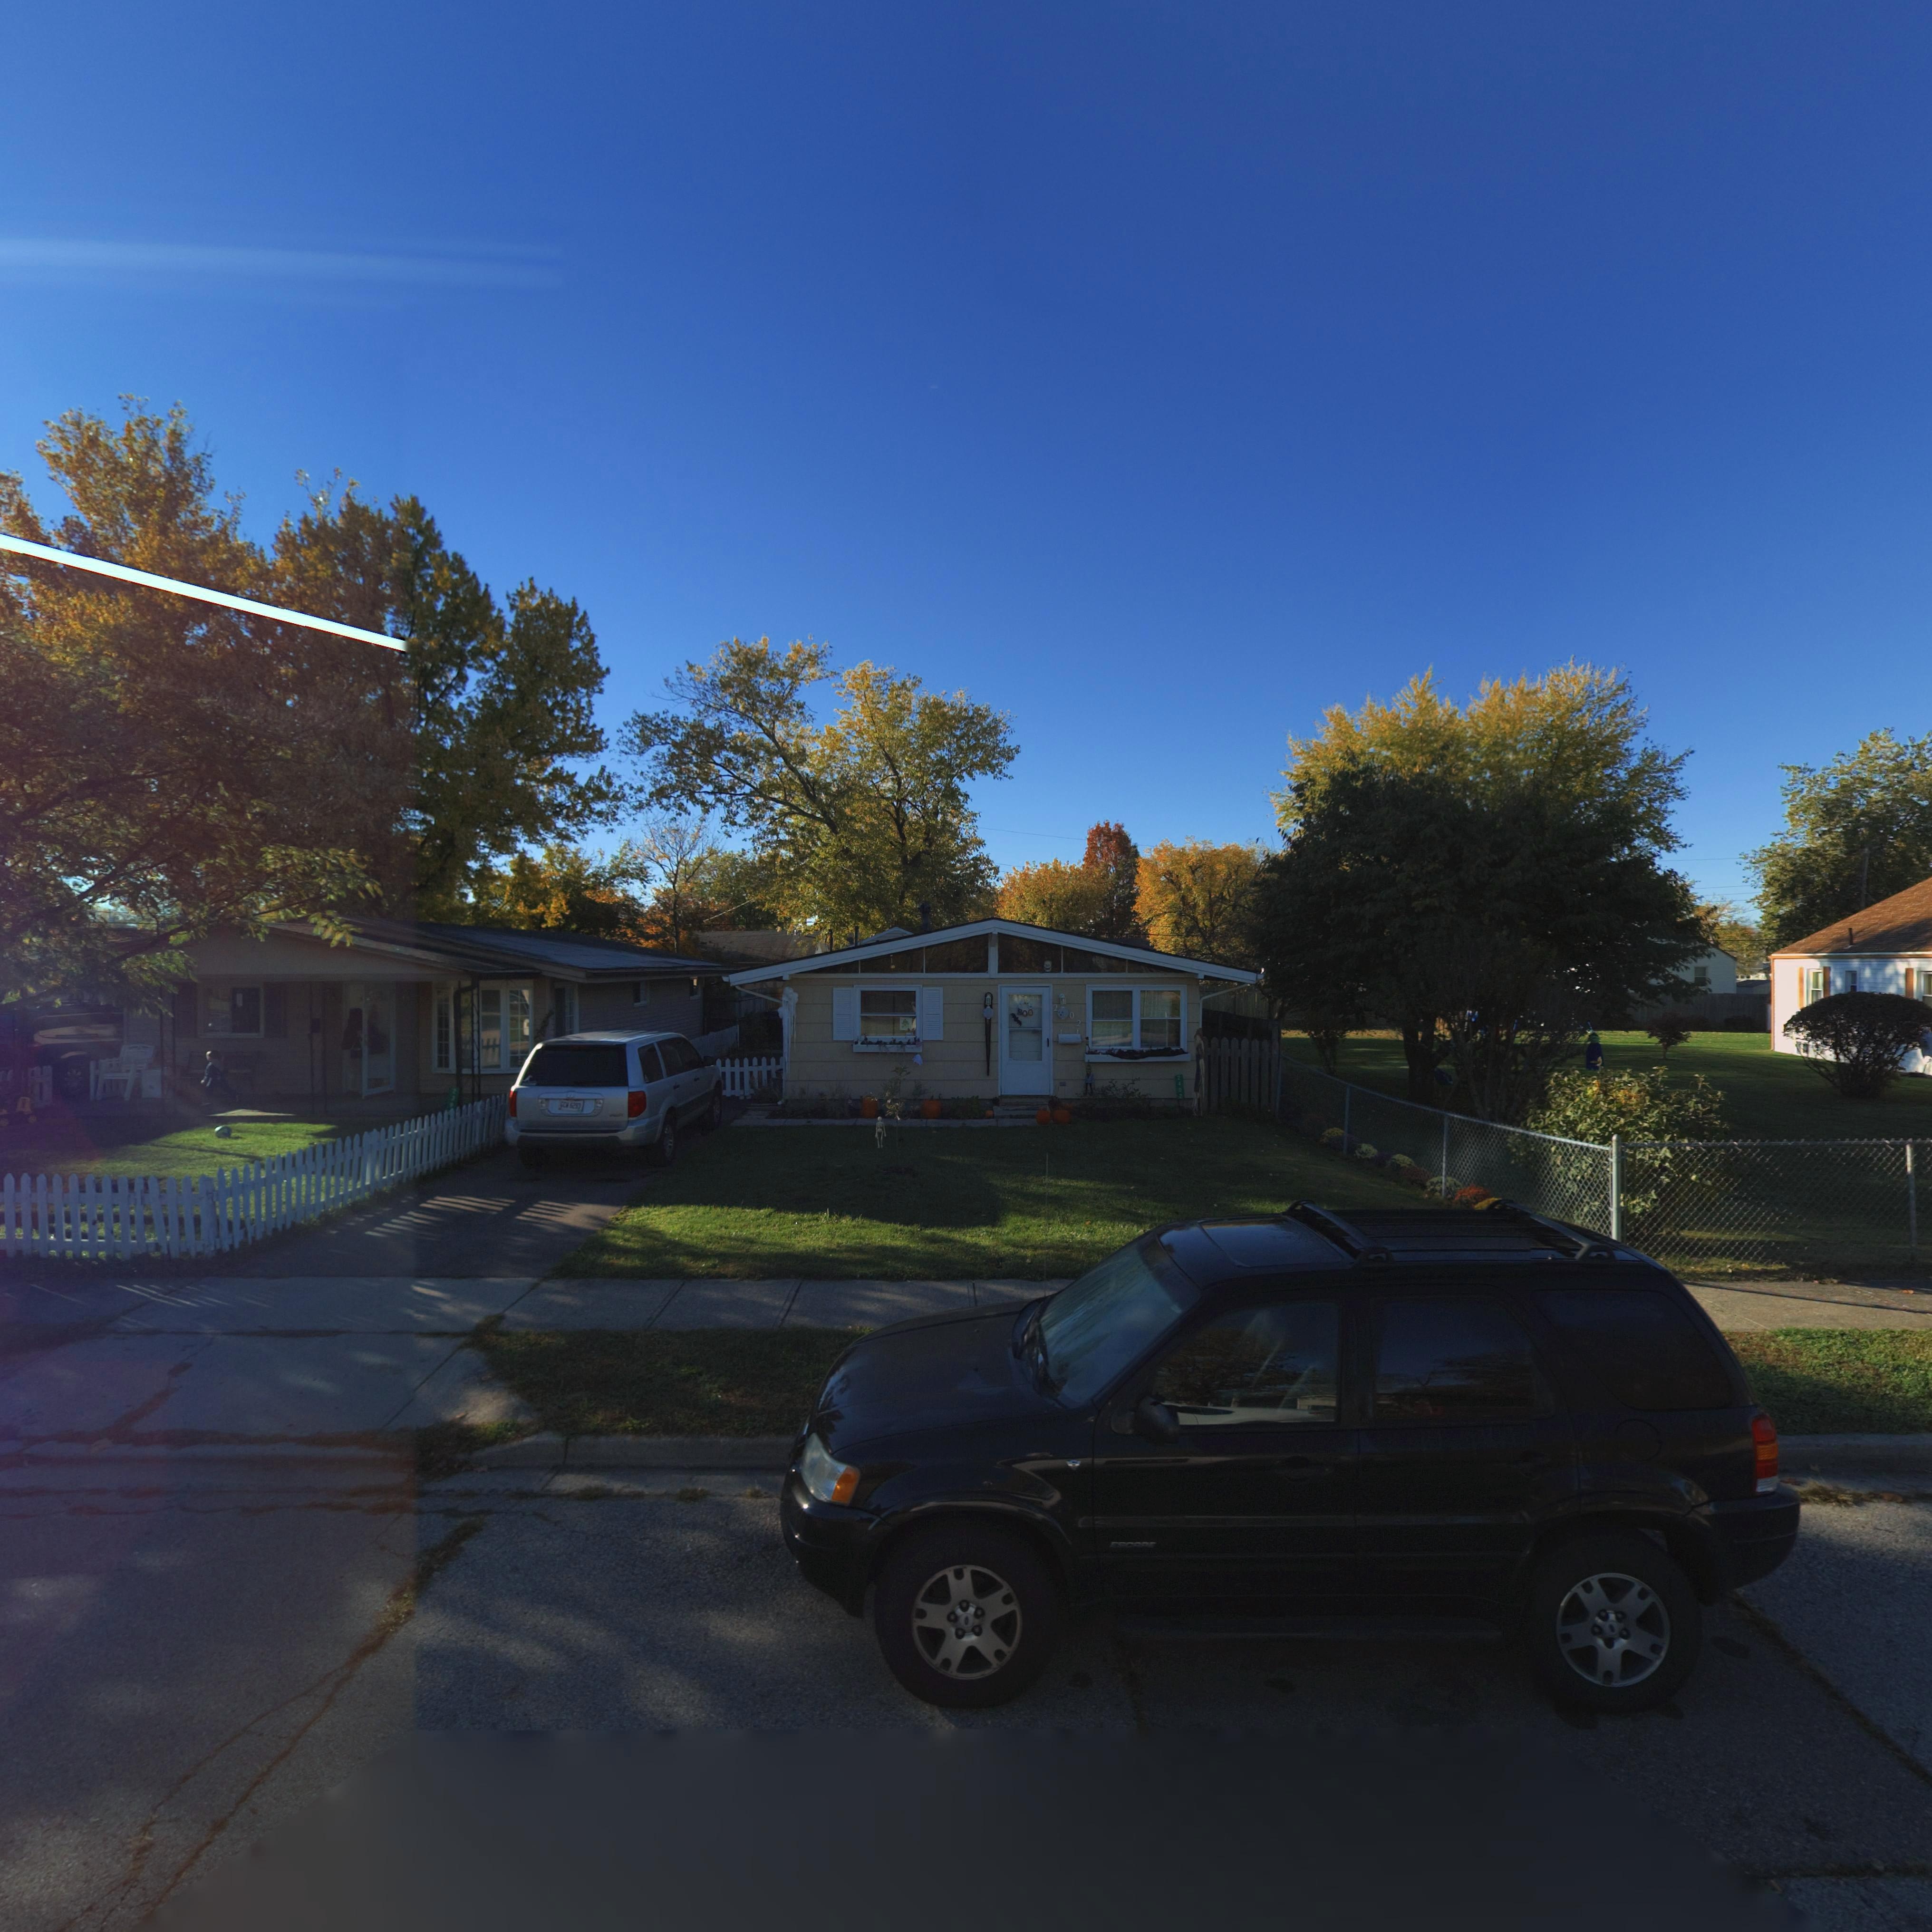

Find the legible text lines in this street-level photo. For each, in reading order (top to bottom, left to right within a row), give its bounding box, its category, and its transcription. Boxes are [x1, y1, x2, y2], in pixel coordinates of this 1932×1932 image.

[1053, 1003, 1083, 1028] StreetNumber: 2*02
[450, 1087, 458, 1101] StreetNumber: 23
[1176, 1074, 1184, 1100] StreetNumber: 2402